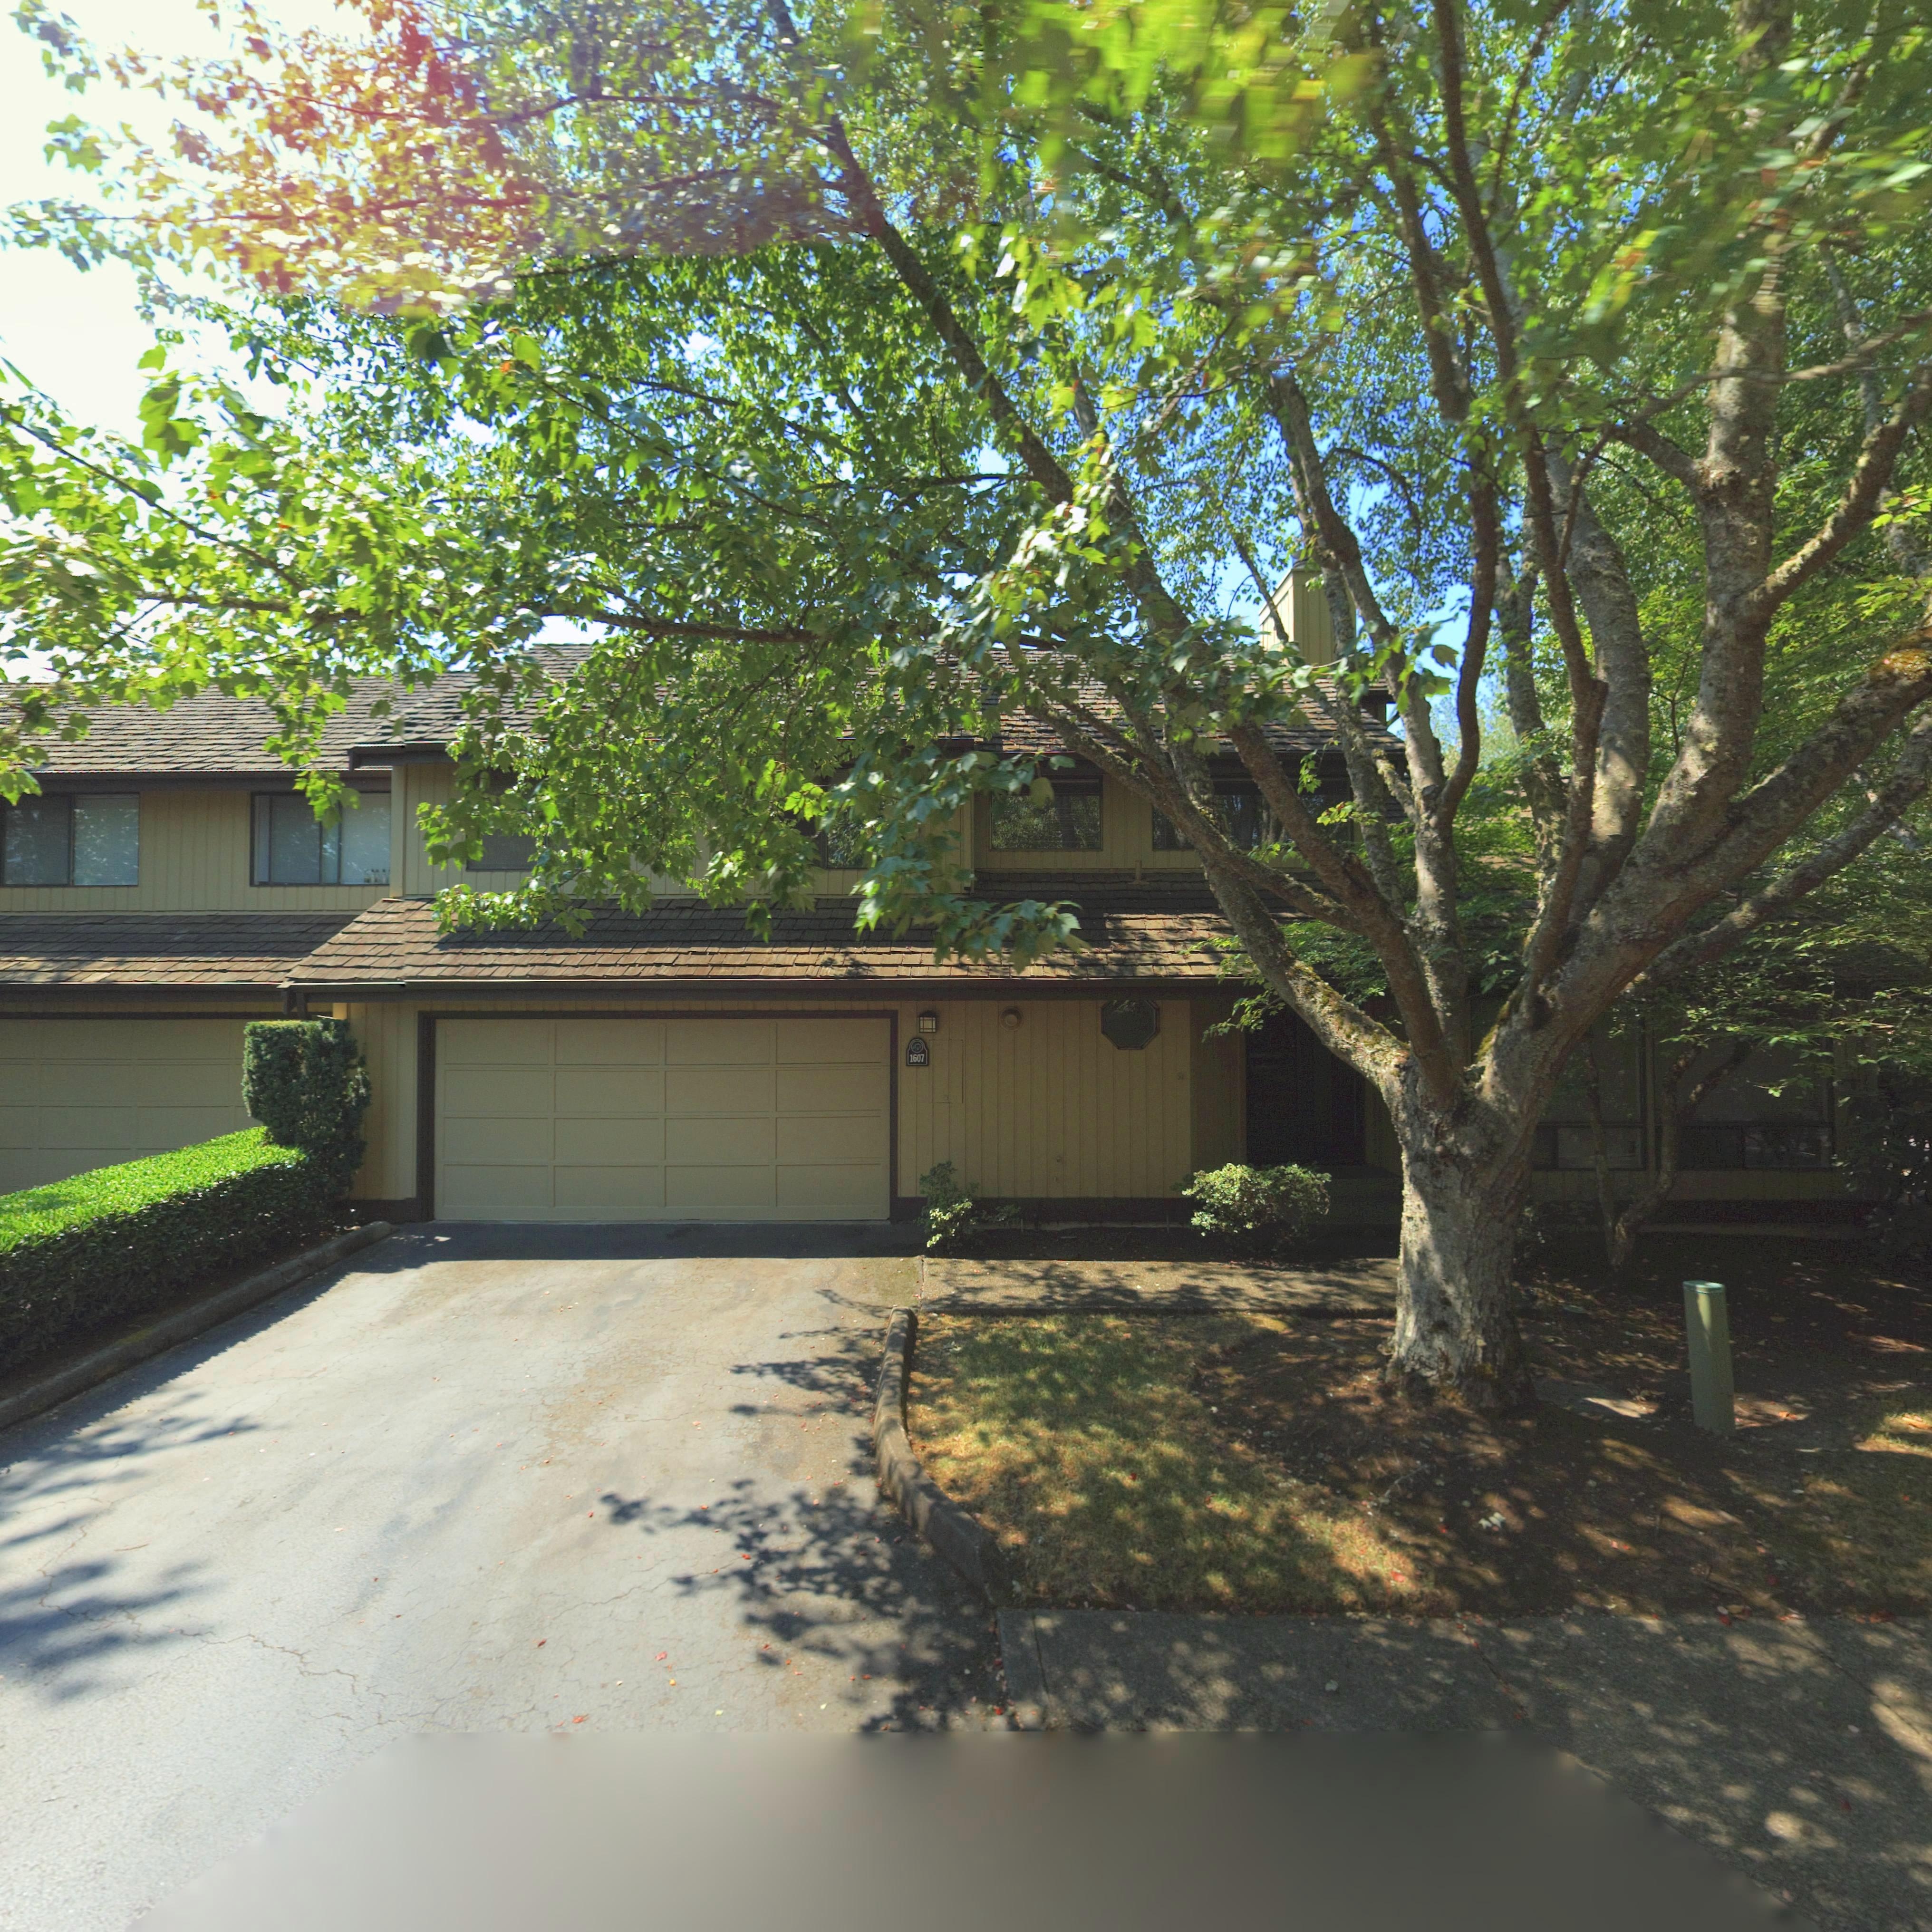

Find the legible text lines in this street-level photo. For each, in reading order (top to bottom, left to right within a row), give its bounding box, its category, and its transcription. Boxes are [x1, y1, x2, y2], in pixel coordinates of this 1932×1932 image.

[910, 1054, 924, 1062] StreetNumber: 1607